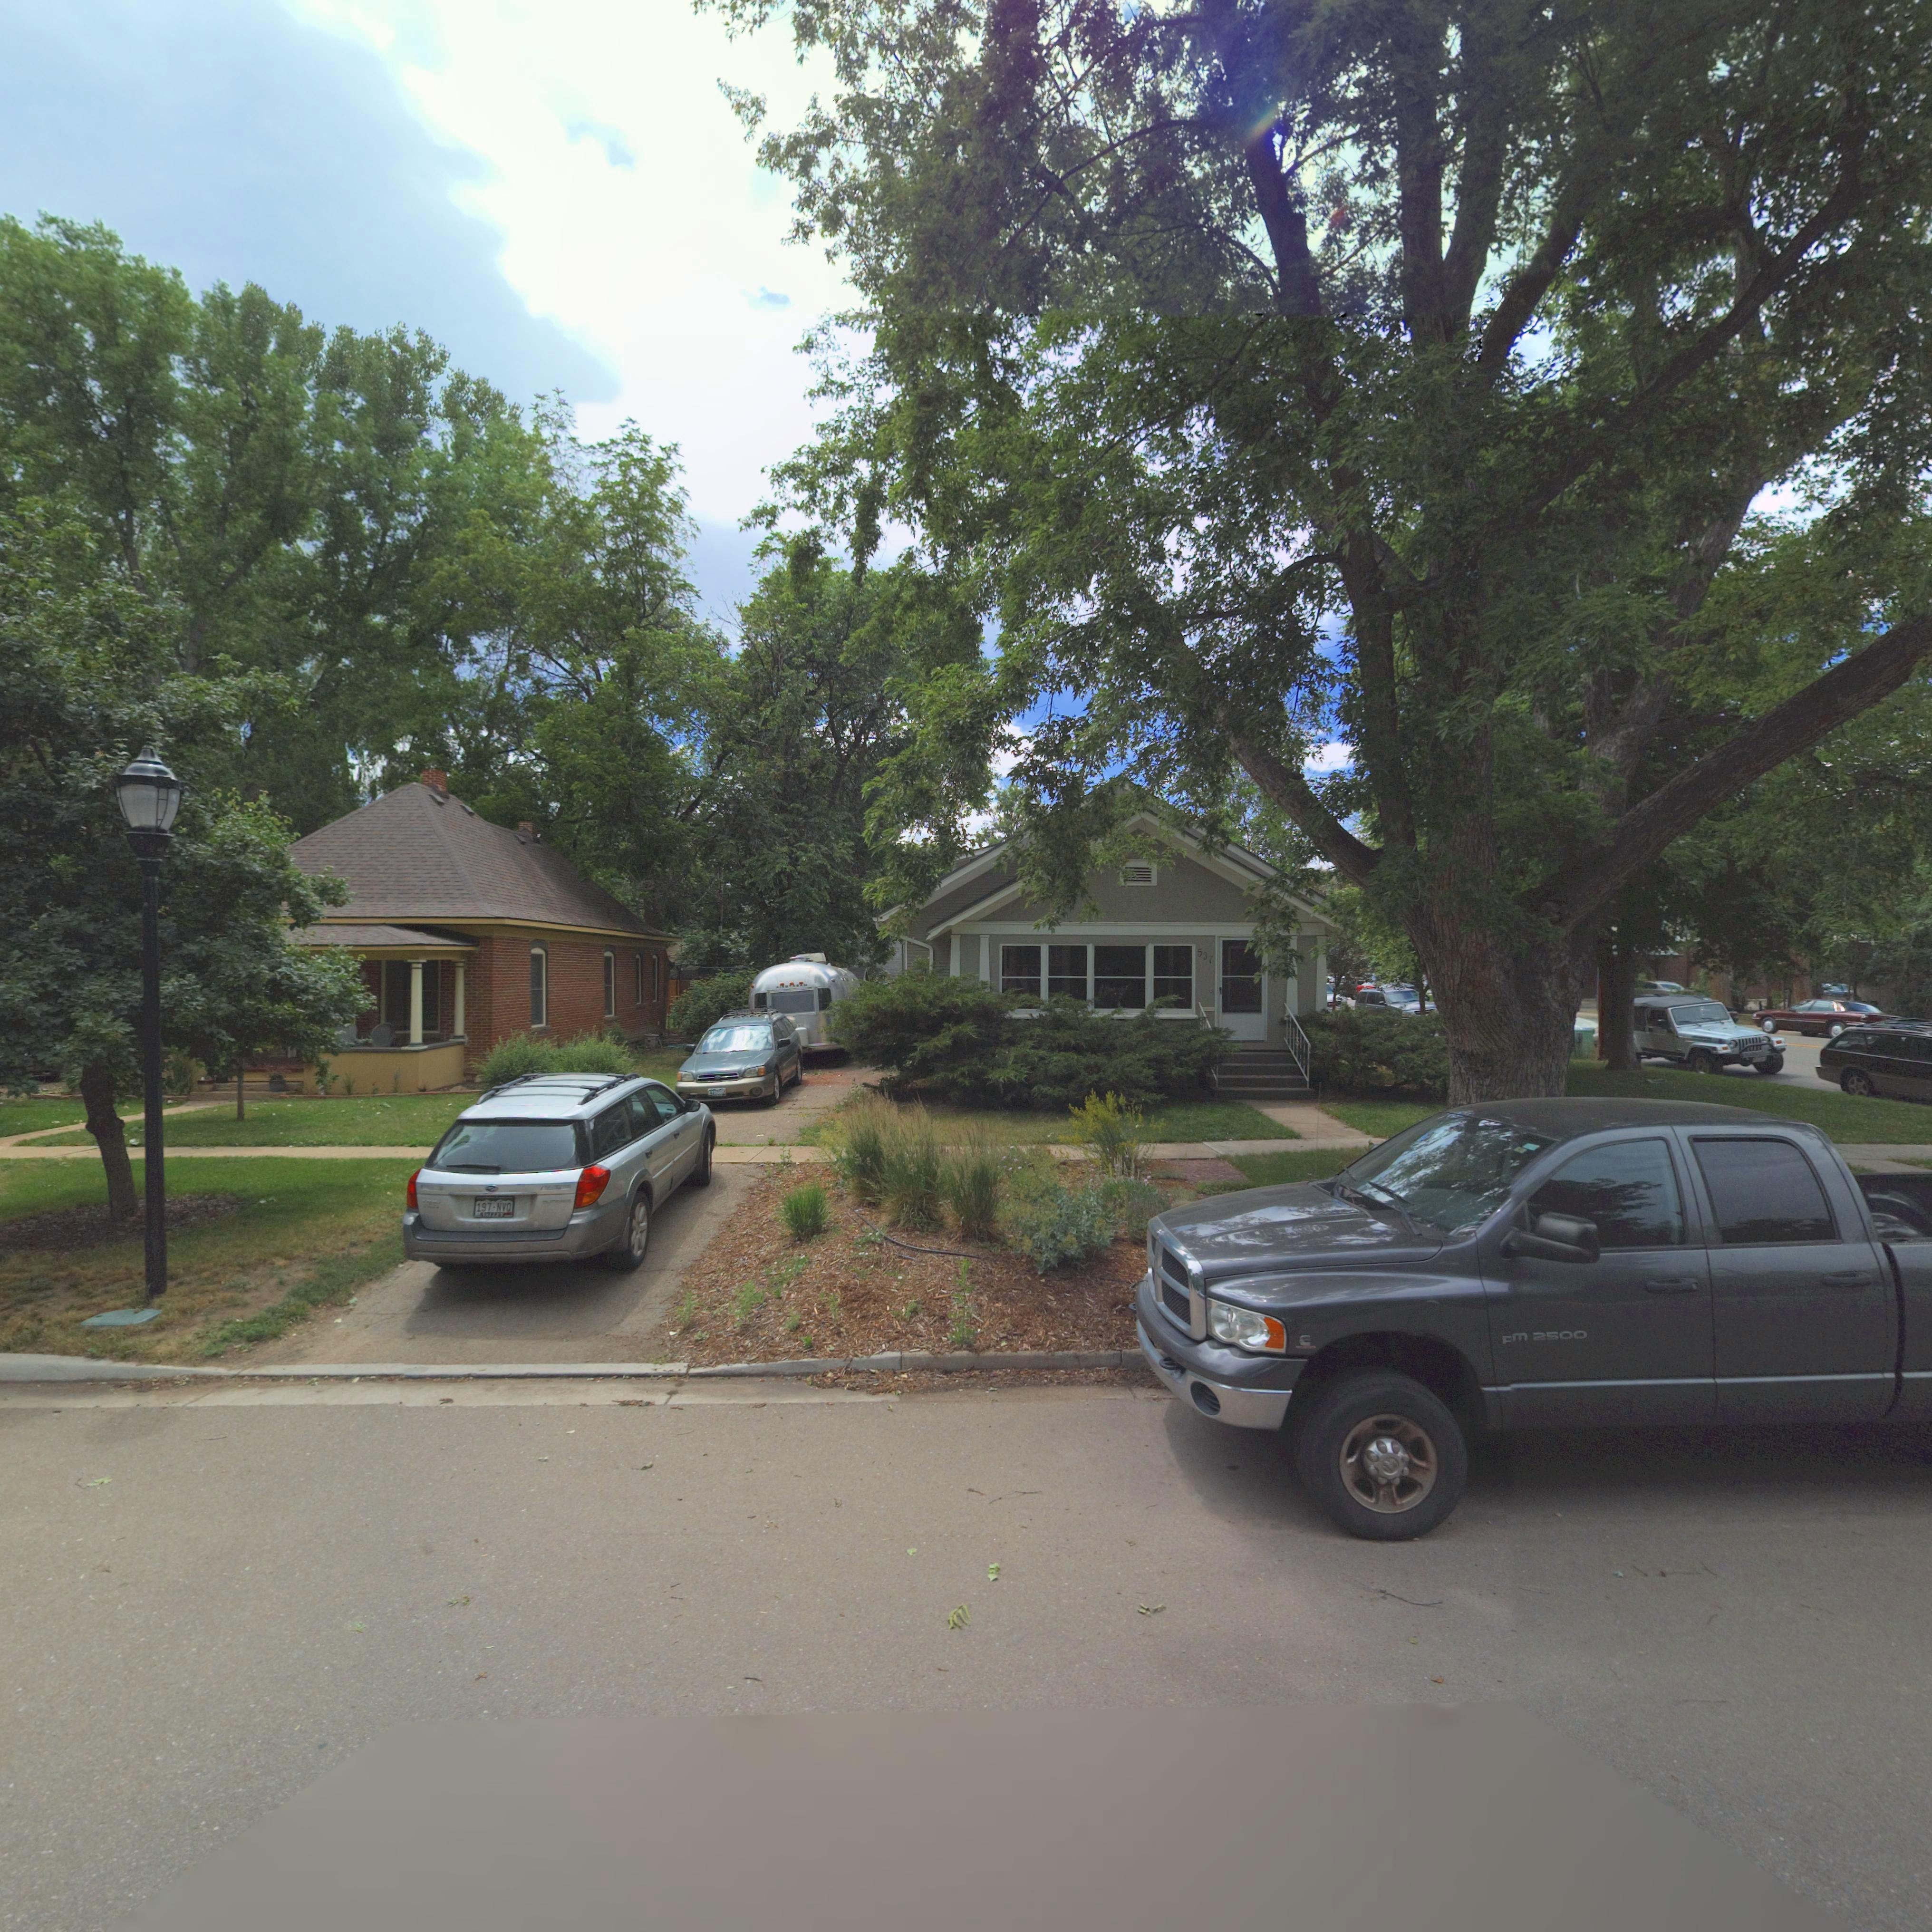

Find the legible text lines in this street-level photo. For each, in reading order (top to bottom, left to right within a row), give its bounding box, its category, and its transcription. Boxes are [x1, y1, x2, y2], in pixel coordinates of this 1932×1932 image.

[1197, 947, 1214, 965] StreetNumber: 537